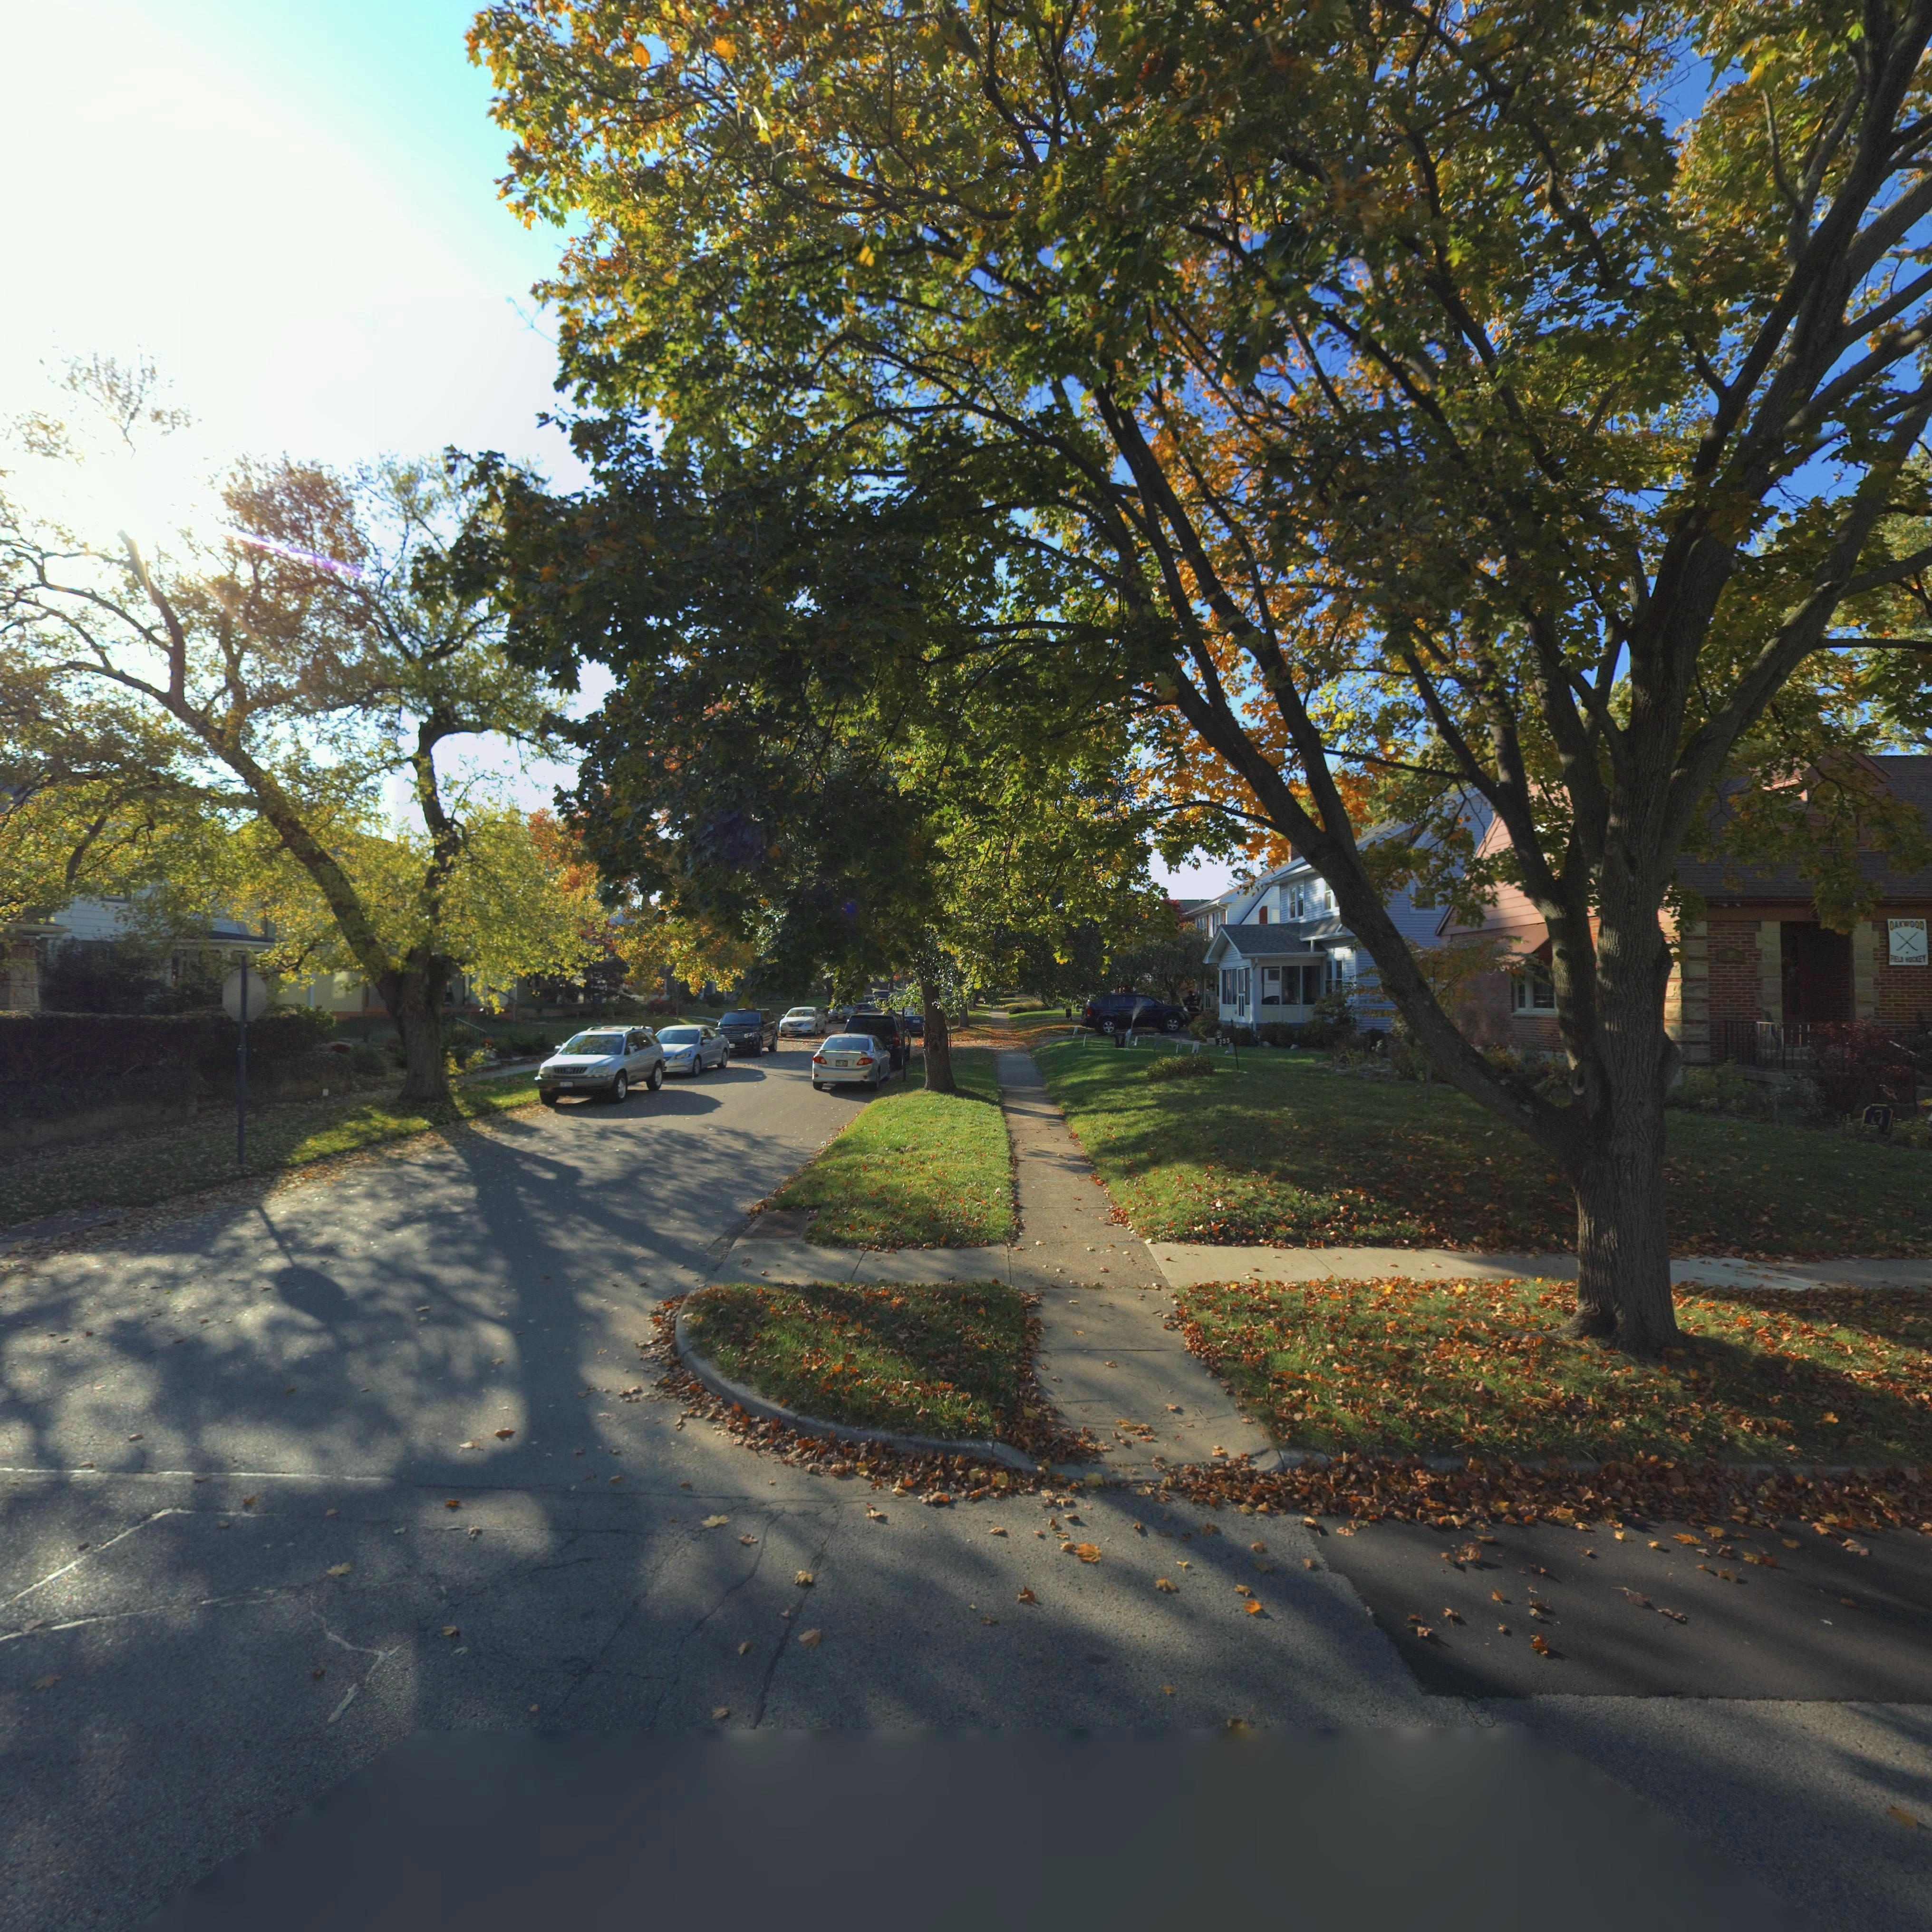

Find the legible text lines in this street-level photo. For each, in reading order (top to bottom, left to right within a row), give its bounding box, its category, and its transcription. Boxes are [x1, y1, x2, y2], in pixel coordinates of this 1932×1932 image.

[1218, 1036, 1232, 1045] StreetNumber: 255